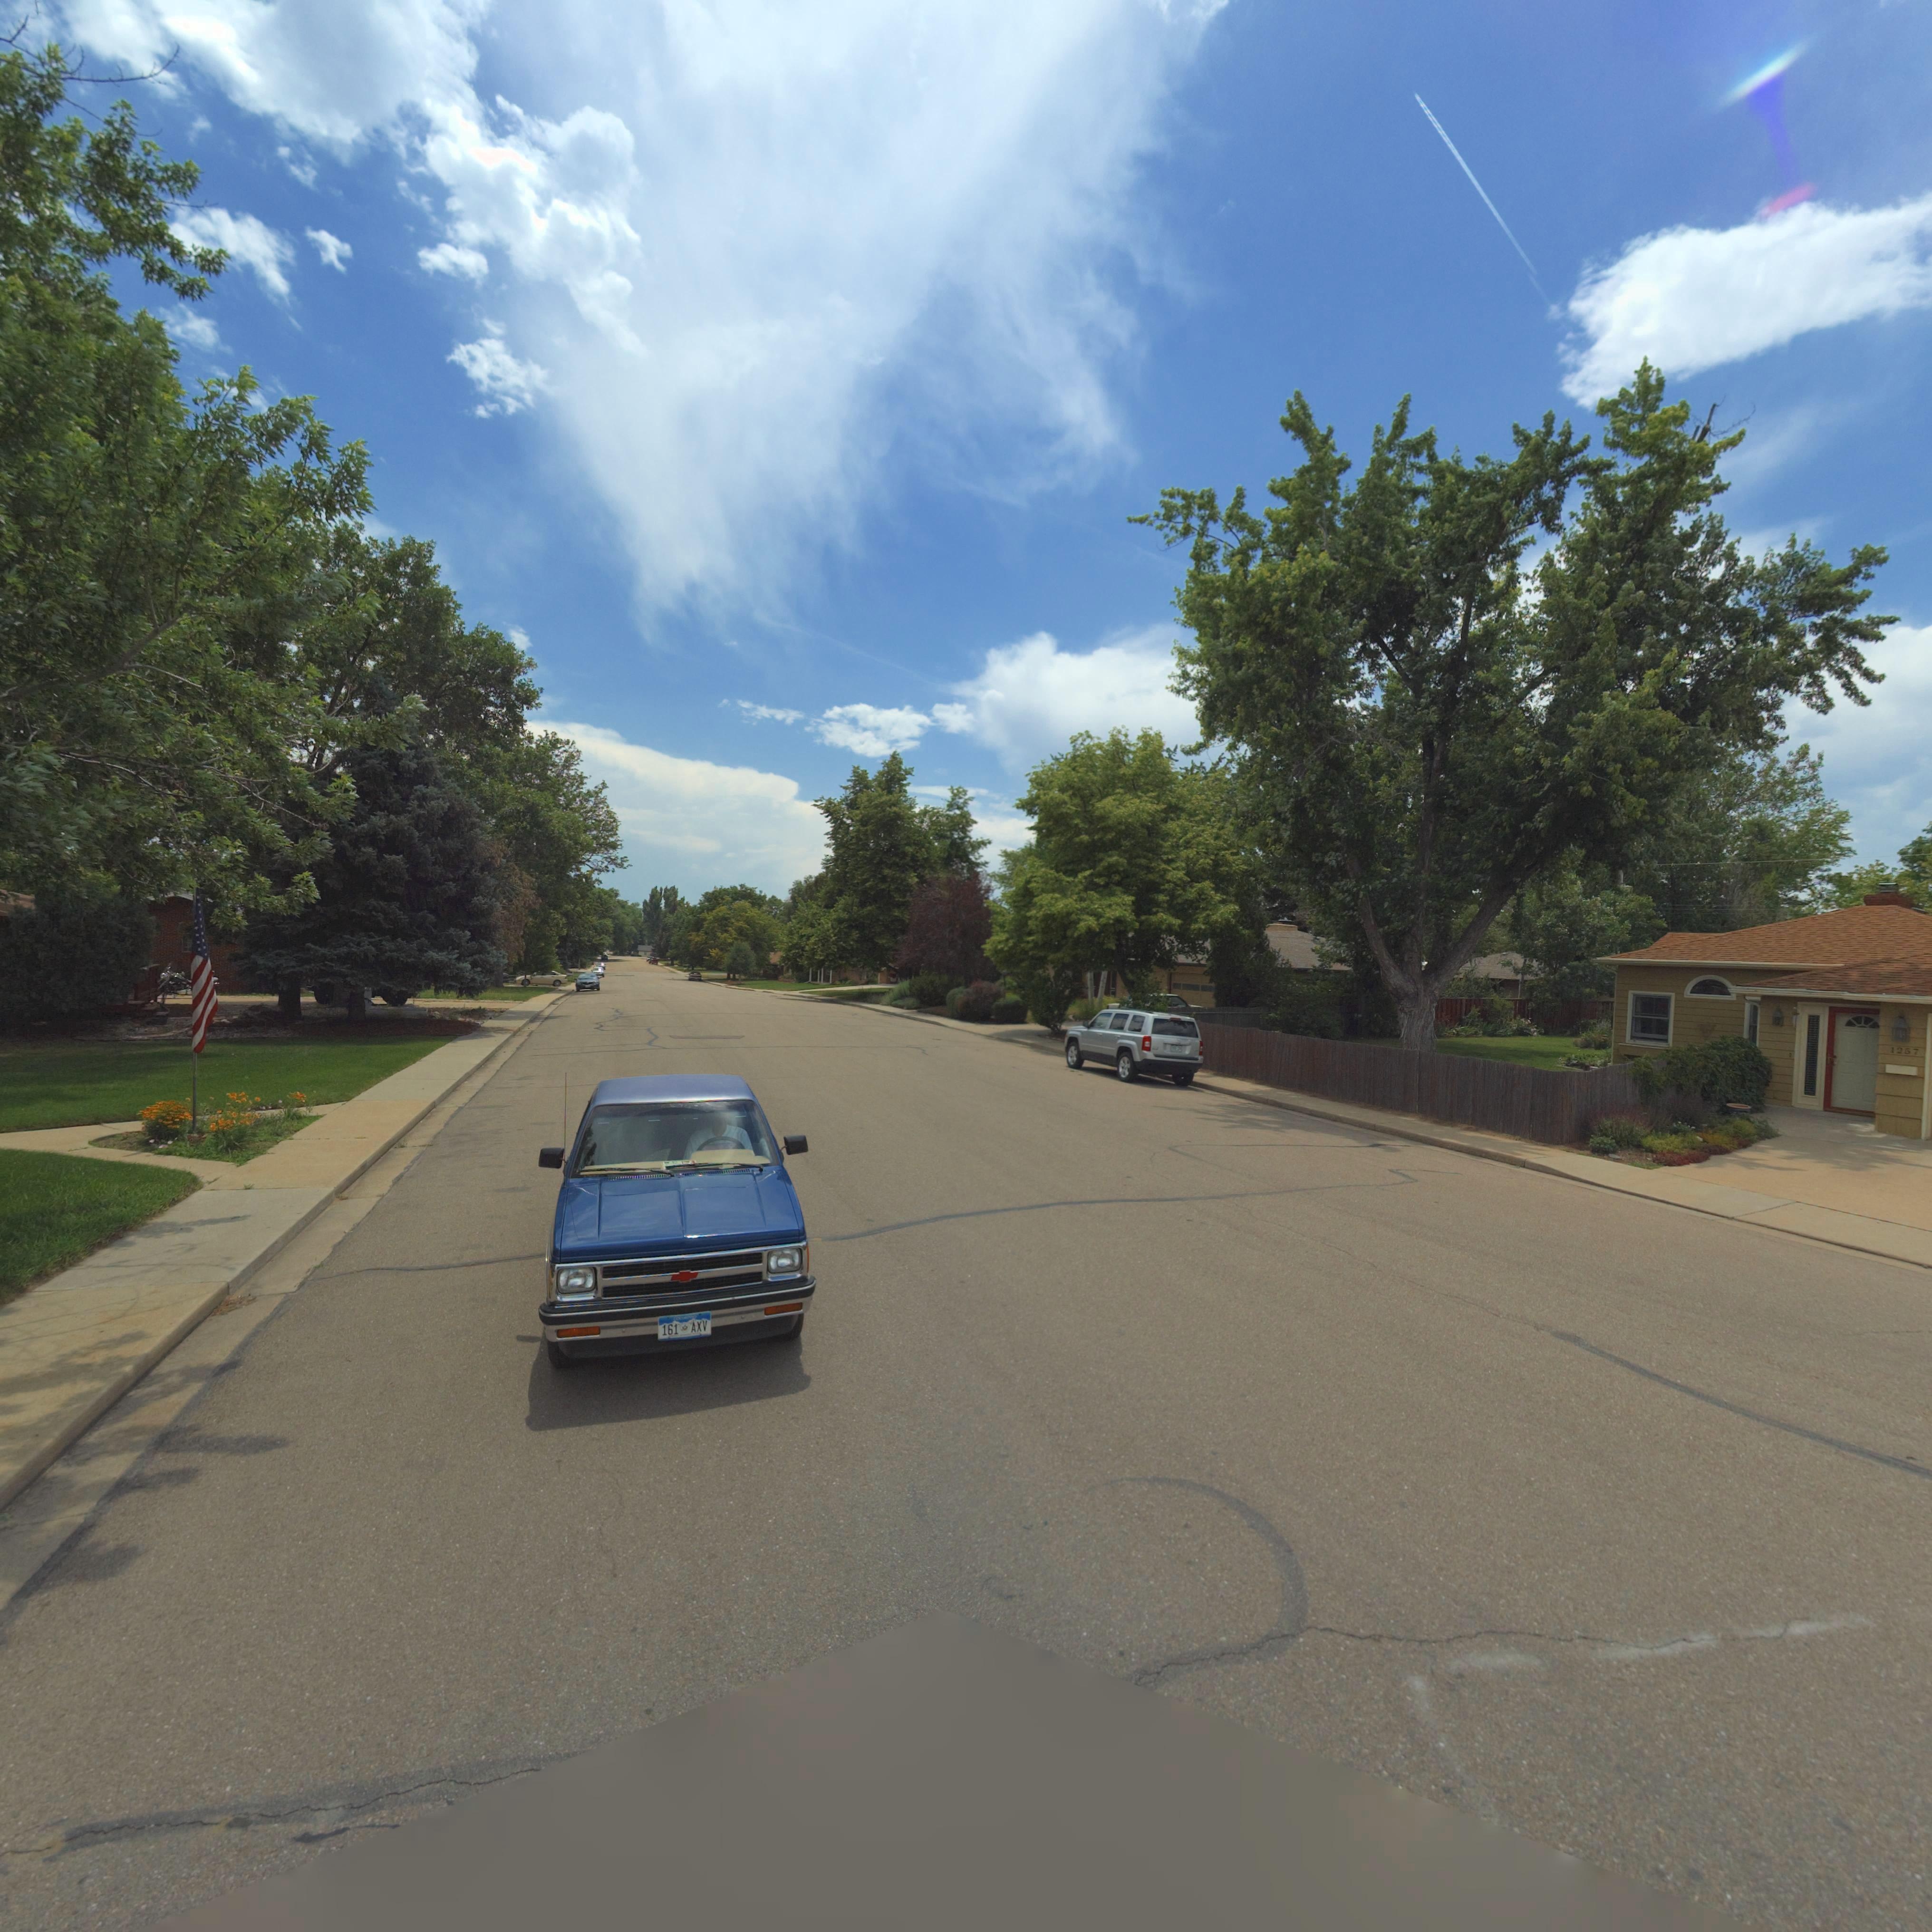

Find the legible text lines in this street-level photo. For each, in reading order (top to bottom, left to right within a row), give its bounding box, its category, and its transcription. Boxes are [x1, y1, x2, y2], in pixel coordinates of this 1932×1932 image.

[1891, 1046, 1920, 1055] StreetNumber: 1*57